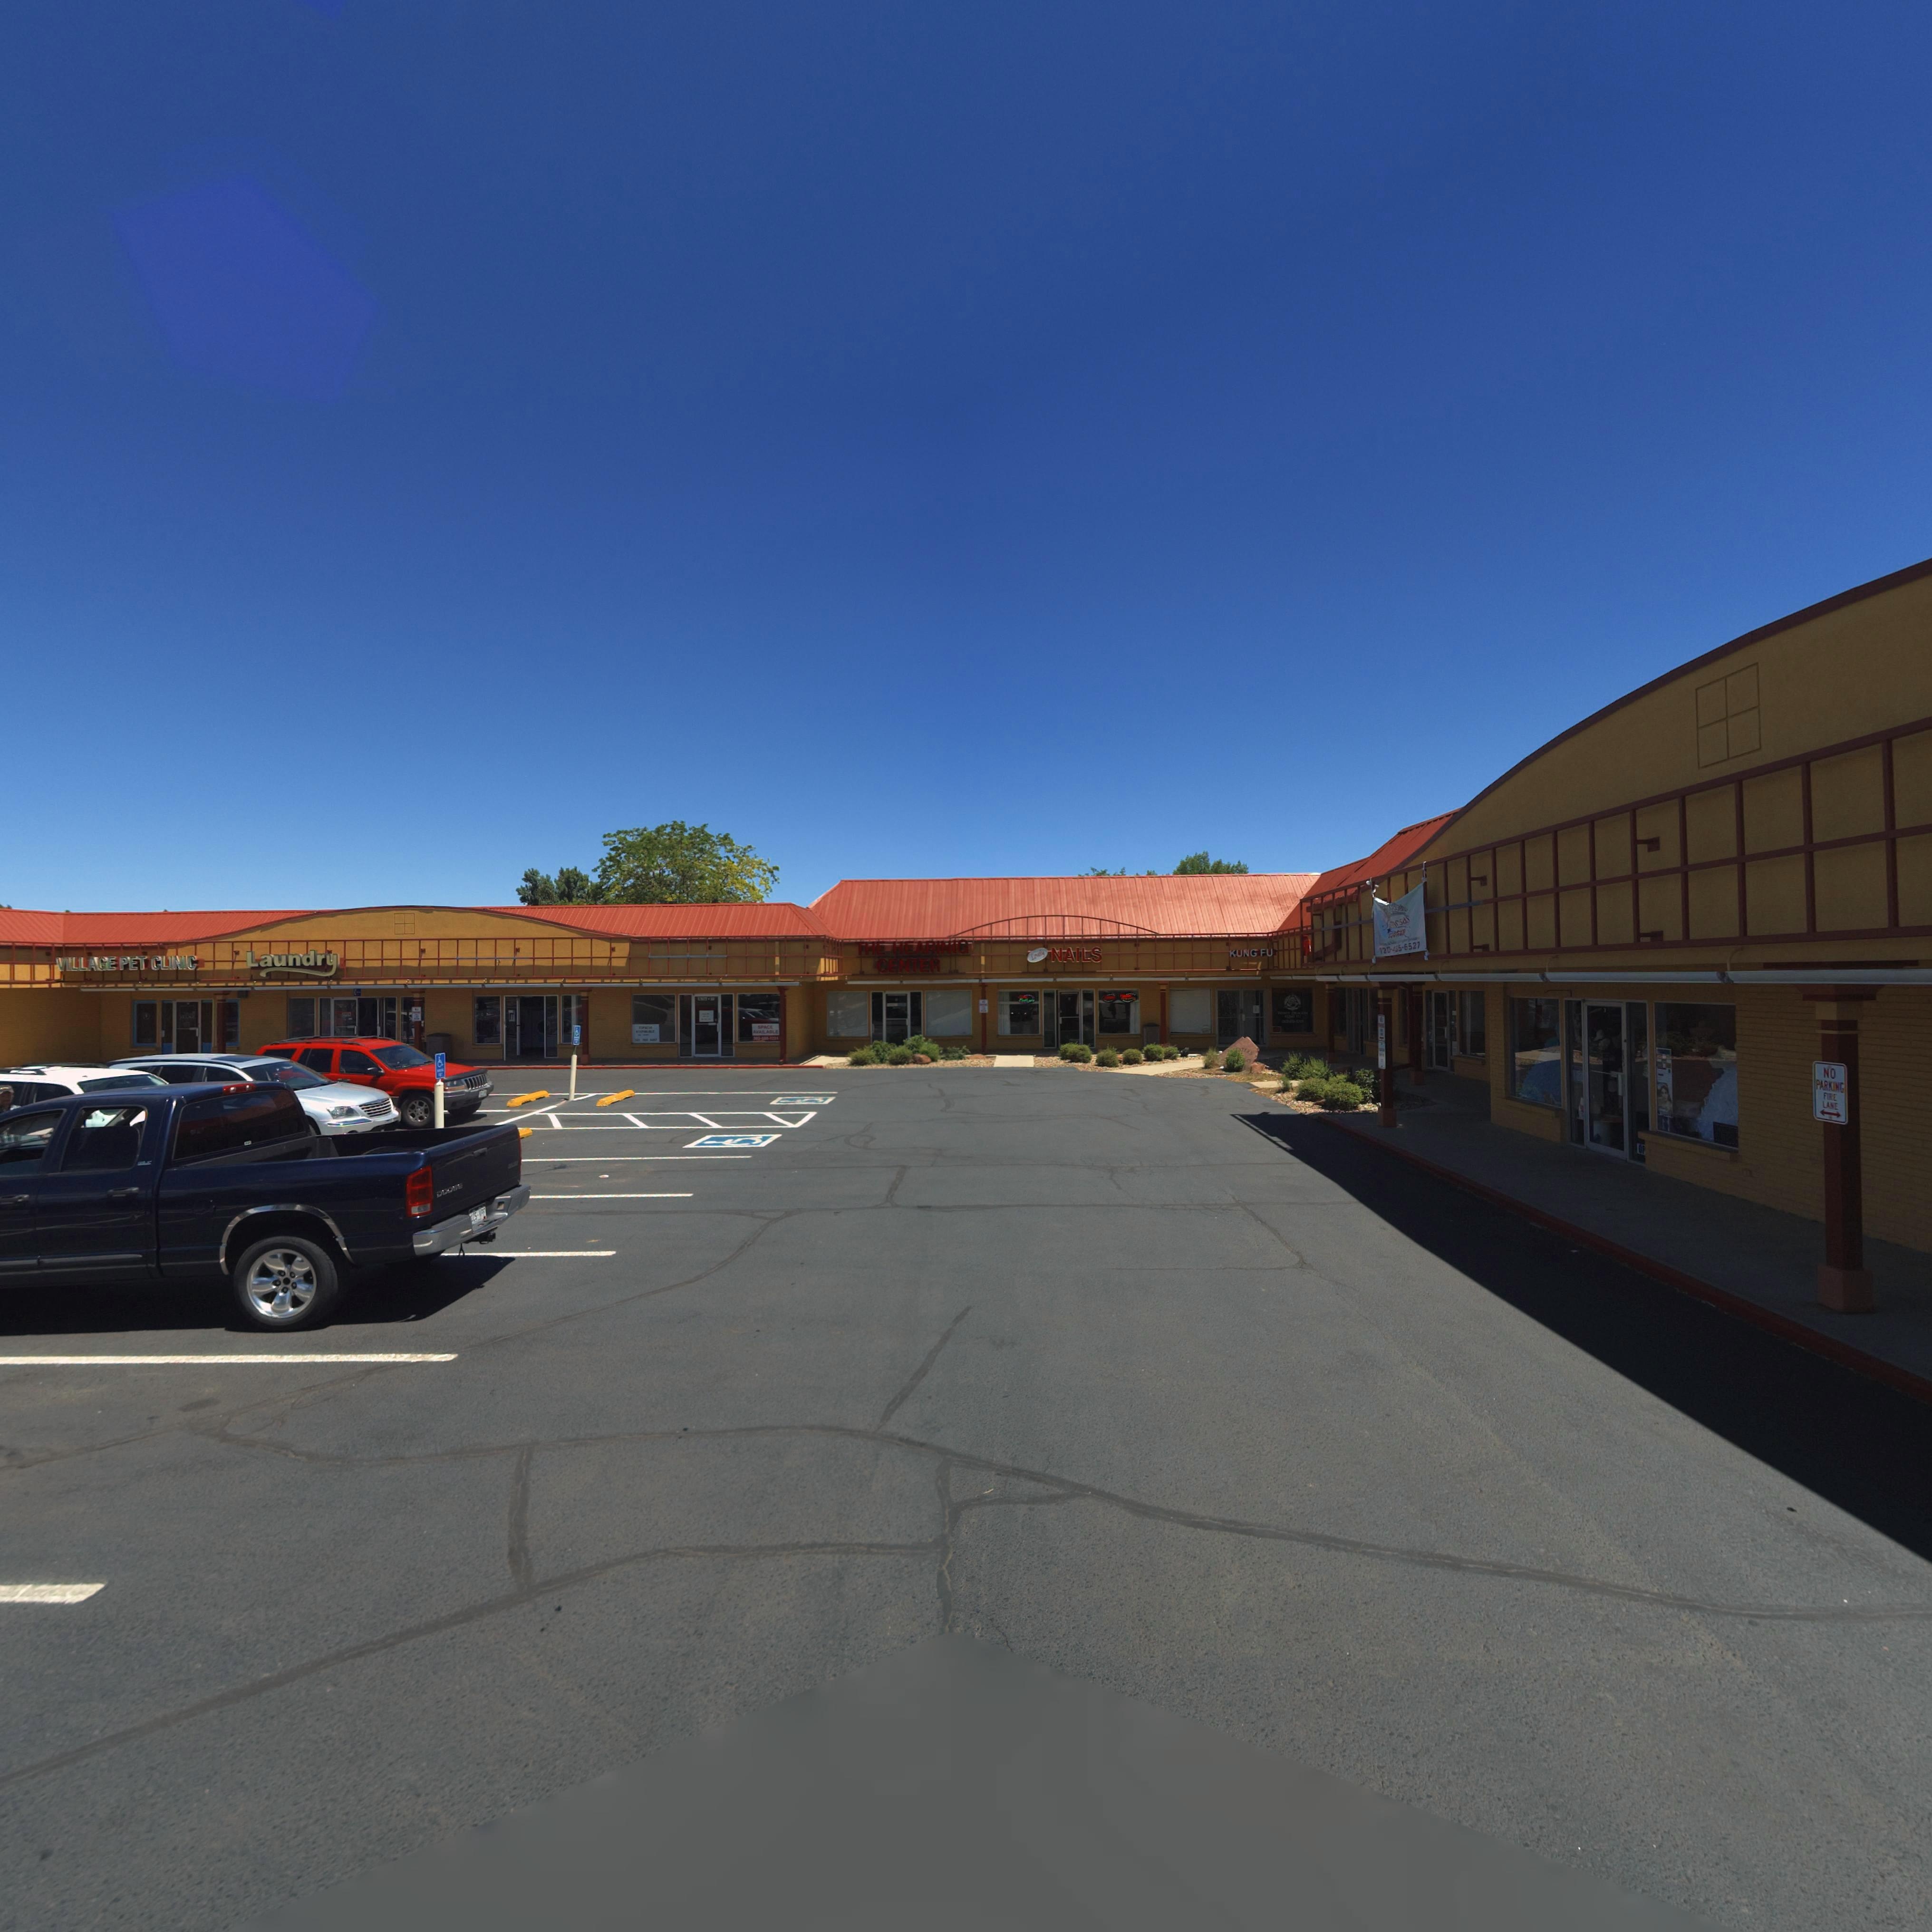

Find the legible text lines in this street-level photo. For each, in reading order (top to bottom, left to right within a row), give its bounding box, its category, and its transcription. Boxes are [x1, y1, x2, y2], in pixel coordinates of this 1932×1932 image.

[55, 955, 197, 972] BusinessName: VILLAGE PET CLINIC
[245, 948, 338, 977] BusinessName: Launrdry
[876, 957, 940, 973] BusinessName: CENTER
[853, 939, 969, 956] BusinessName: THE HEARING
[1030, 948, 1045, 961] BusinessName: Lov**y
[1050, 946, 1103, 963] BusinessName: NAILS